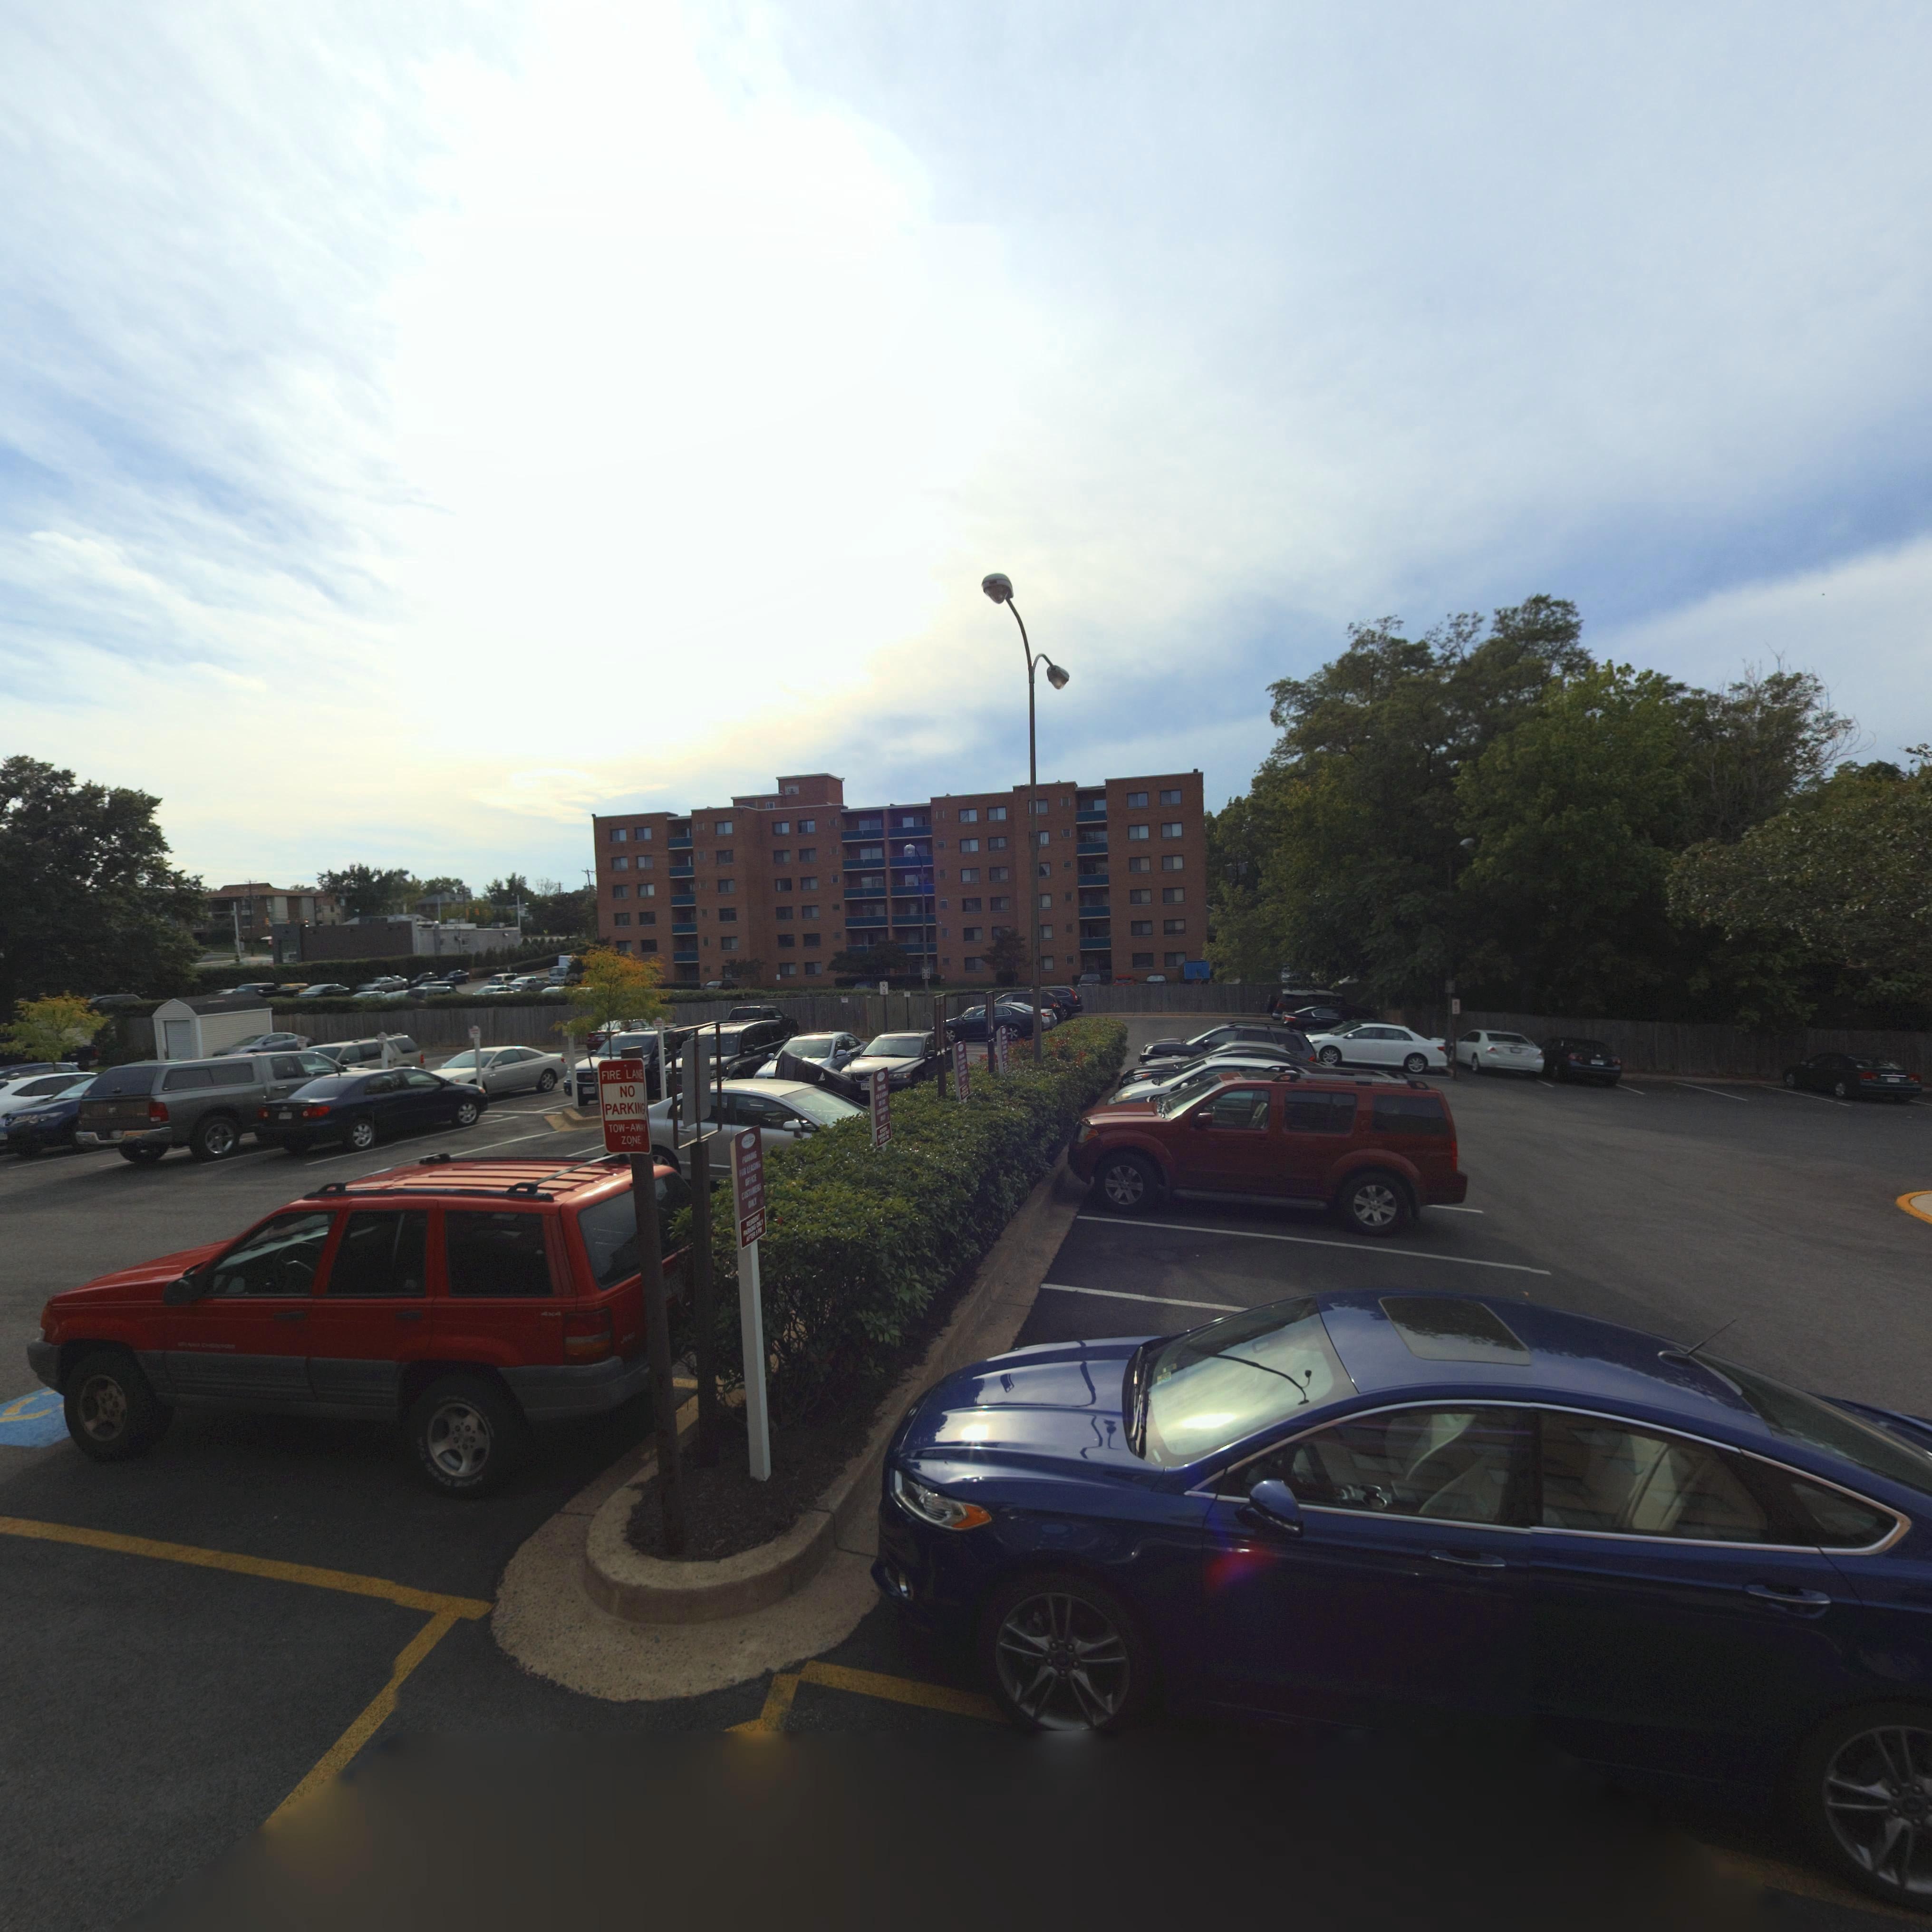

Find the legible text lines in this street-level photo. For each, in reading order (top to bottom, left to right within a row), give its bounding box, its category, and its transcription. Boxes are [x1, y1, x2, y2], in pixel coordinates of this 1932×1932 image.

[600, 1068, 644, 1082] None: FIRE LANE
[618, 1084, 637, 1099] None: NO
[603, 1100, 647, 1116] None: PARKING
[607, 1122, 643, 1135] None: TOW-AW
[620, 1134, 643, 1146] None: ZONE
[539, 1310, 562, 1317] None: 4x4